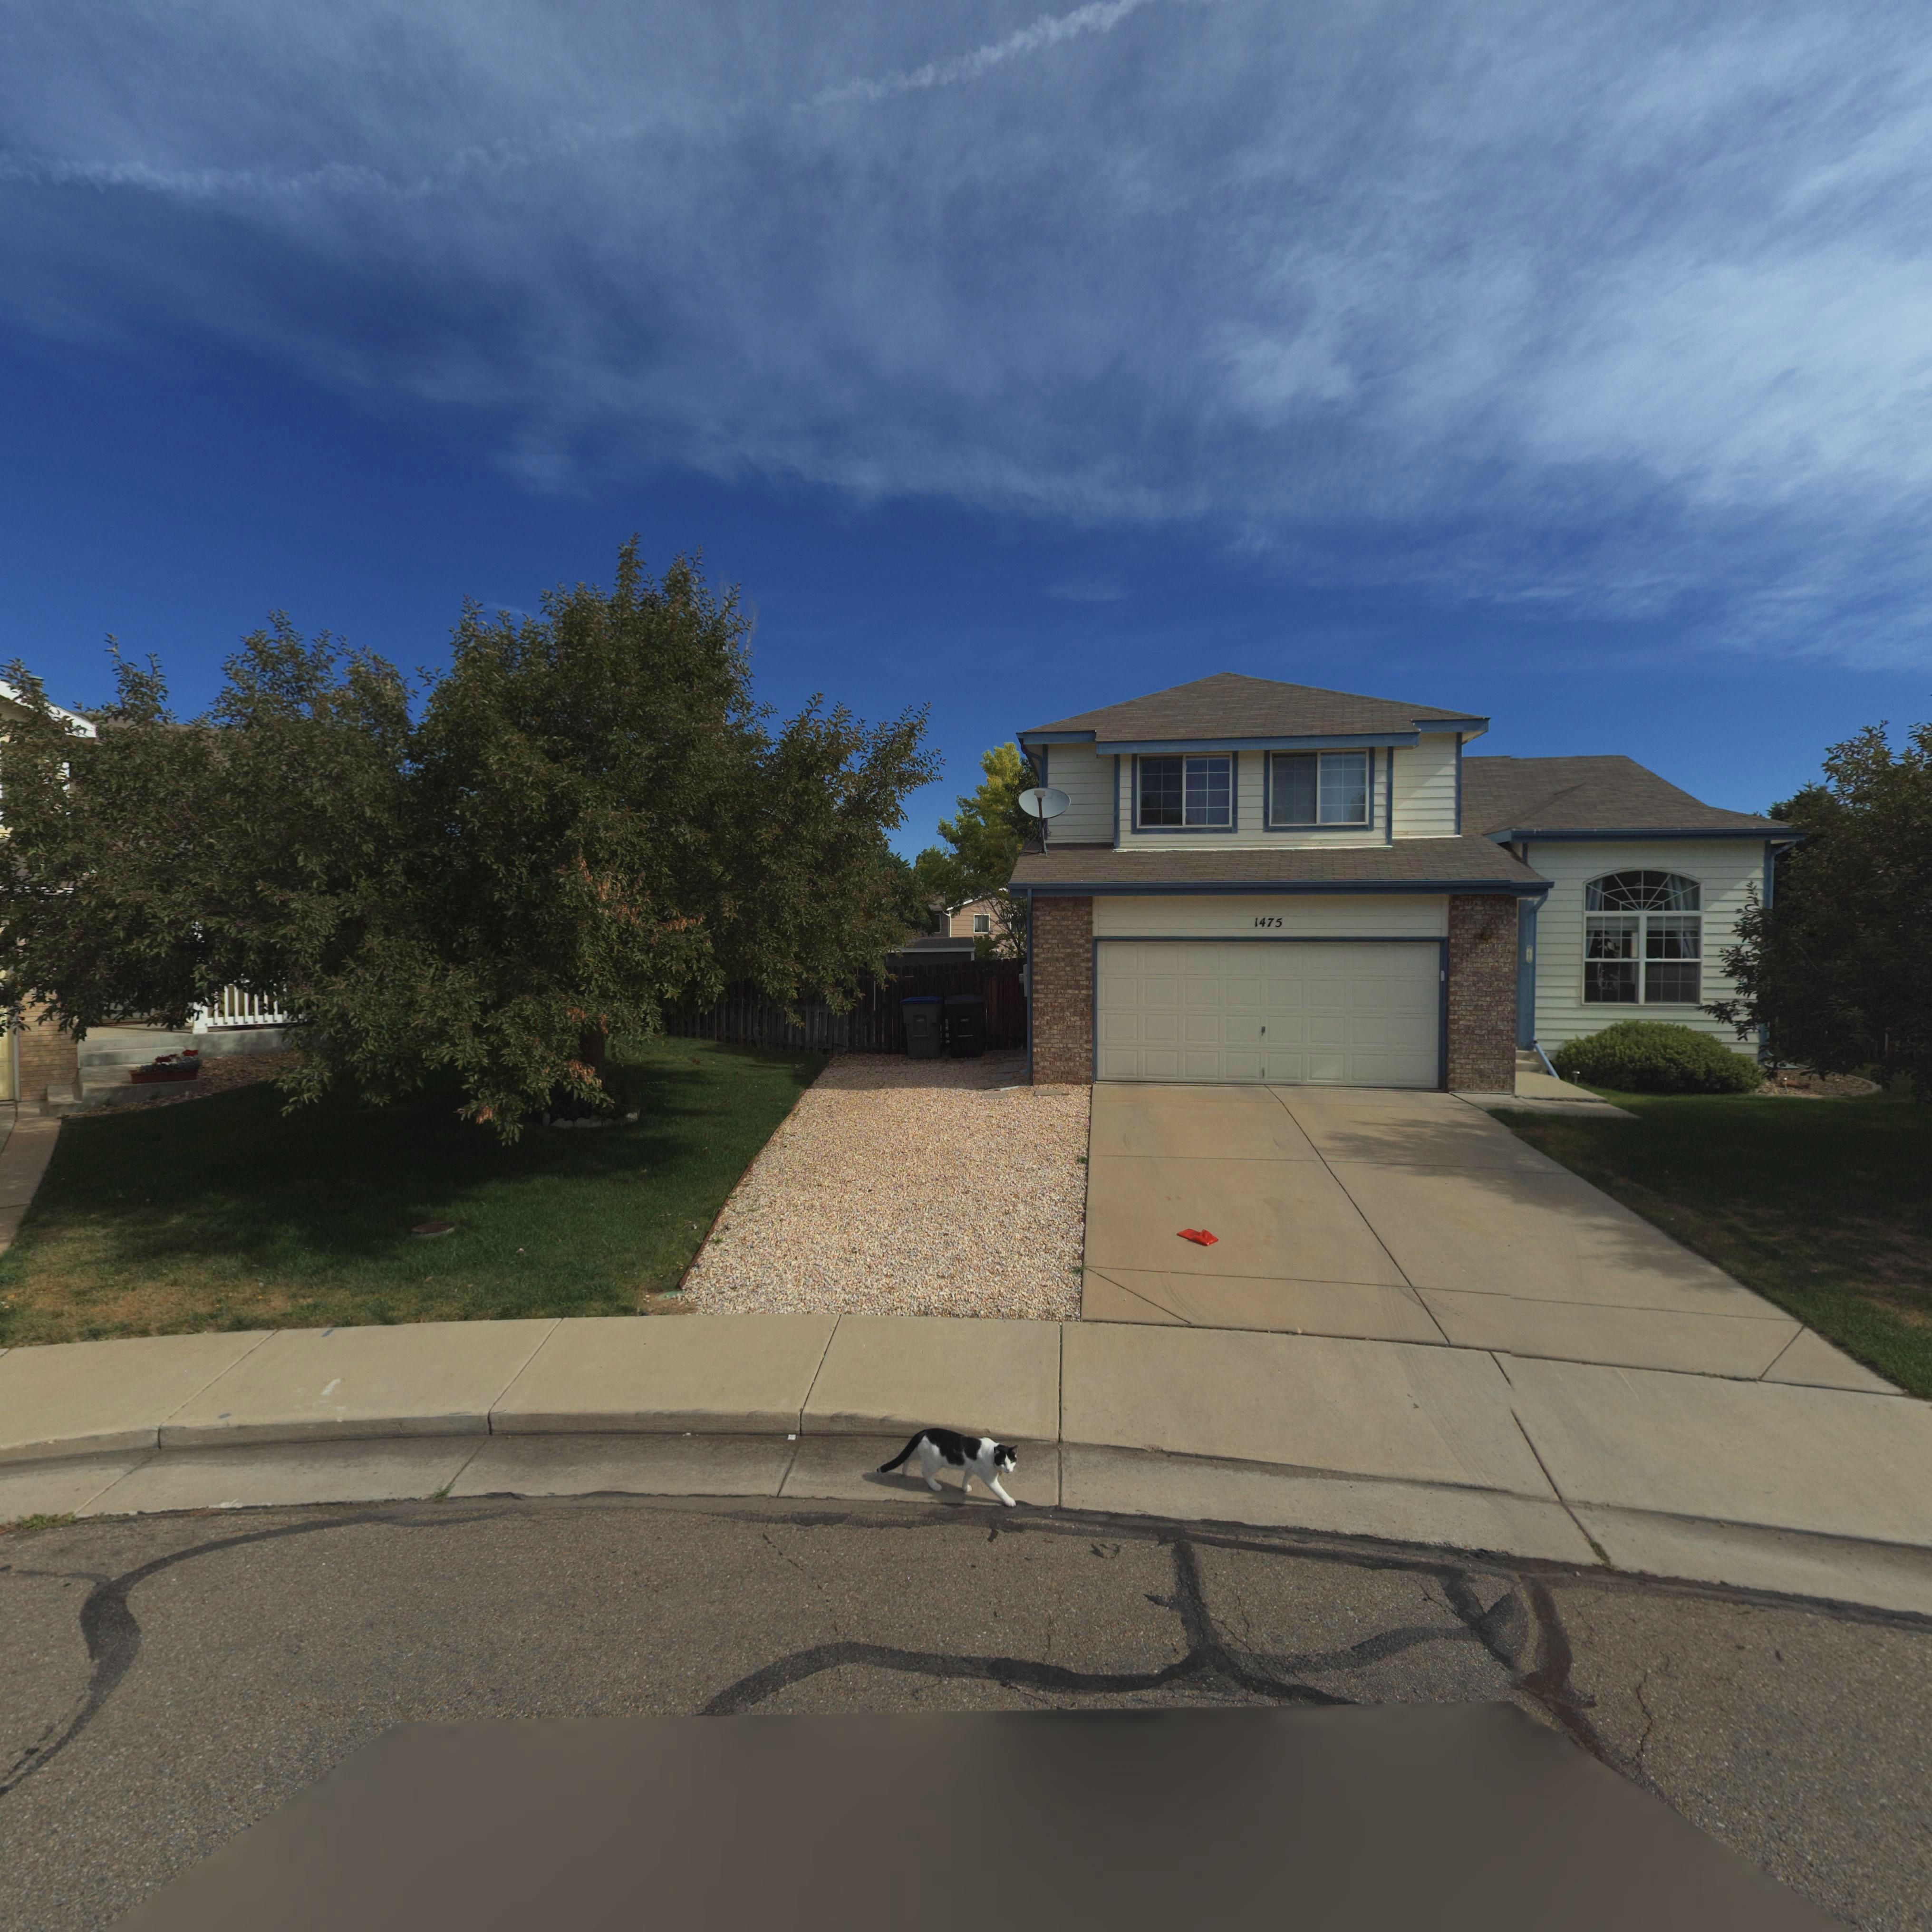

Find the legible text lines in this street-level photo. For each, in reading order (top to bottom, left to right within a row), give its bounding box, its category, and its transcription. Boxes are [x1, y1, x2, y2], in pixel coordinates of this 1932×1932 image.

[1254, 917, 1282, 927] StreetNumber: 1475